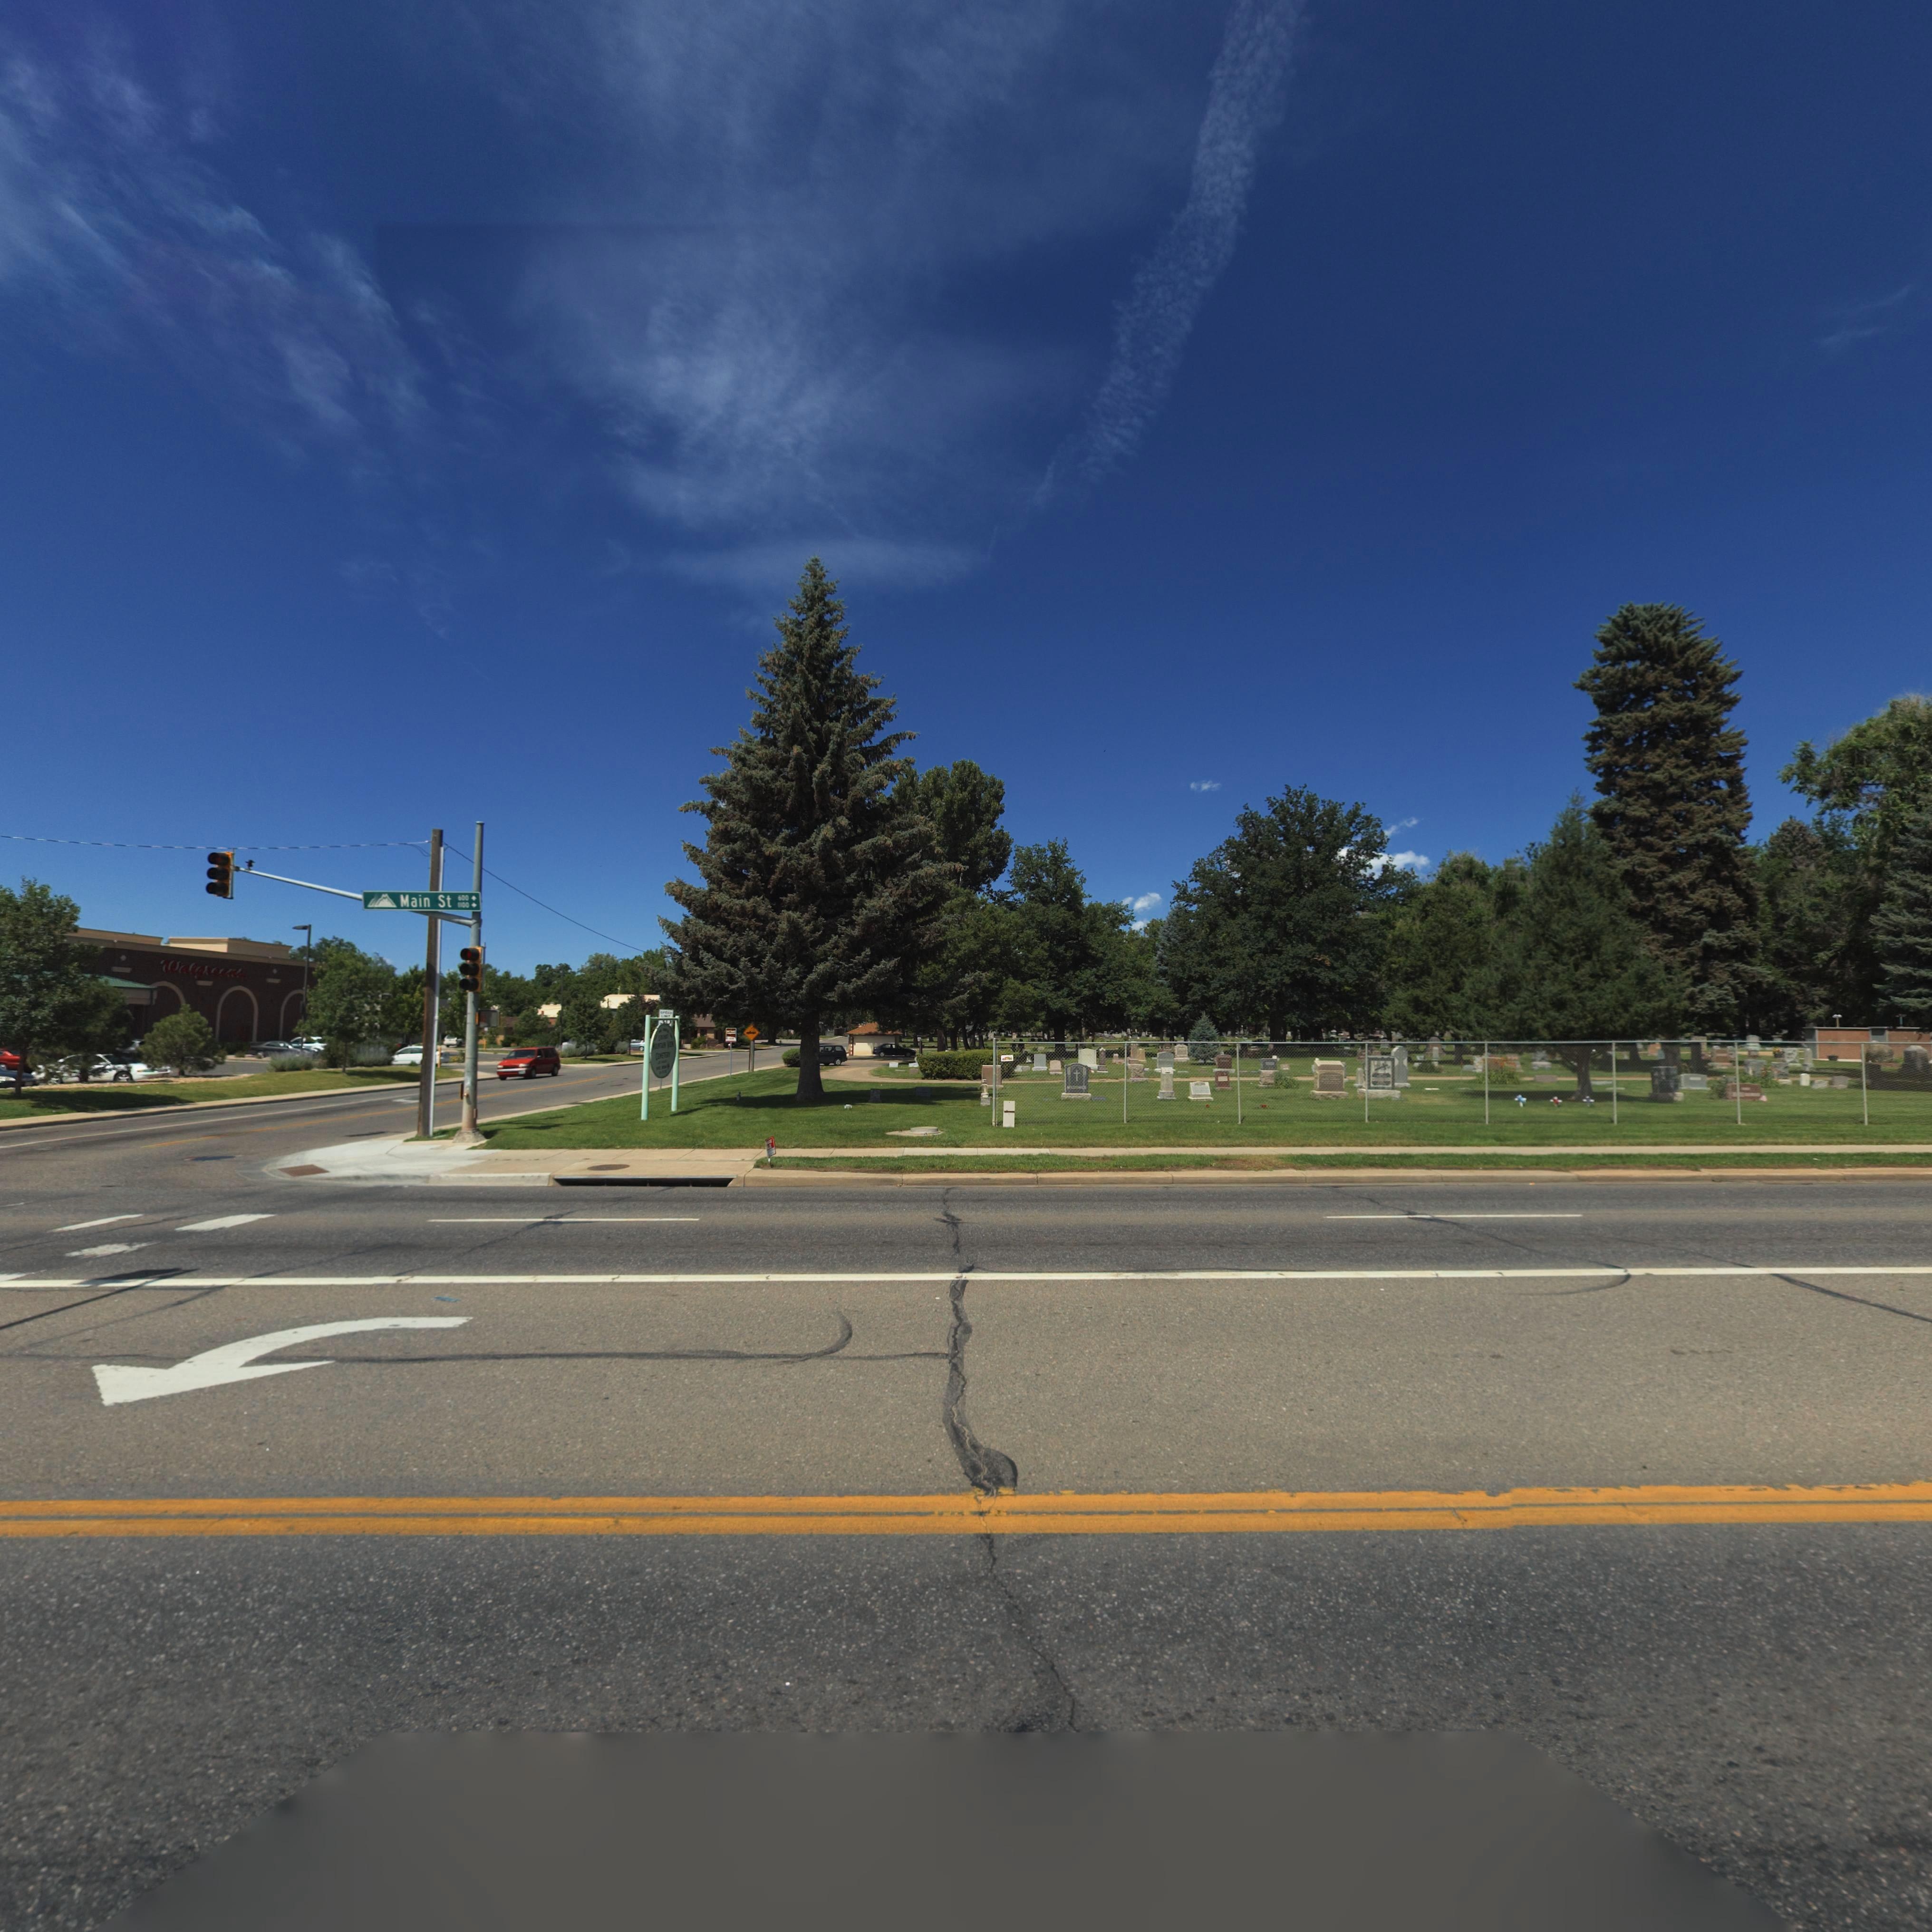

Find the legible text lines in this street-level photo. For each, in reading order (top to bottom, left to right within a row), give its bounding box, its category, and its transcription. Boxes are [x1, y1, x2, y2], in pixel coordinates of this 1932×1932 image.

[399, 894, 453, 908] StreetName: Main St
[457, 894, 469, 901] StreetNumberRange: 600
[457, 902, 470, 908] StreetNumberRange: 1100
[162, 958, 246, 979] BusinessName: Walgreens